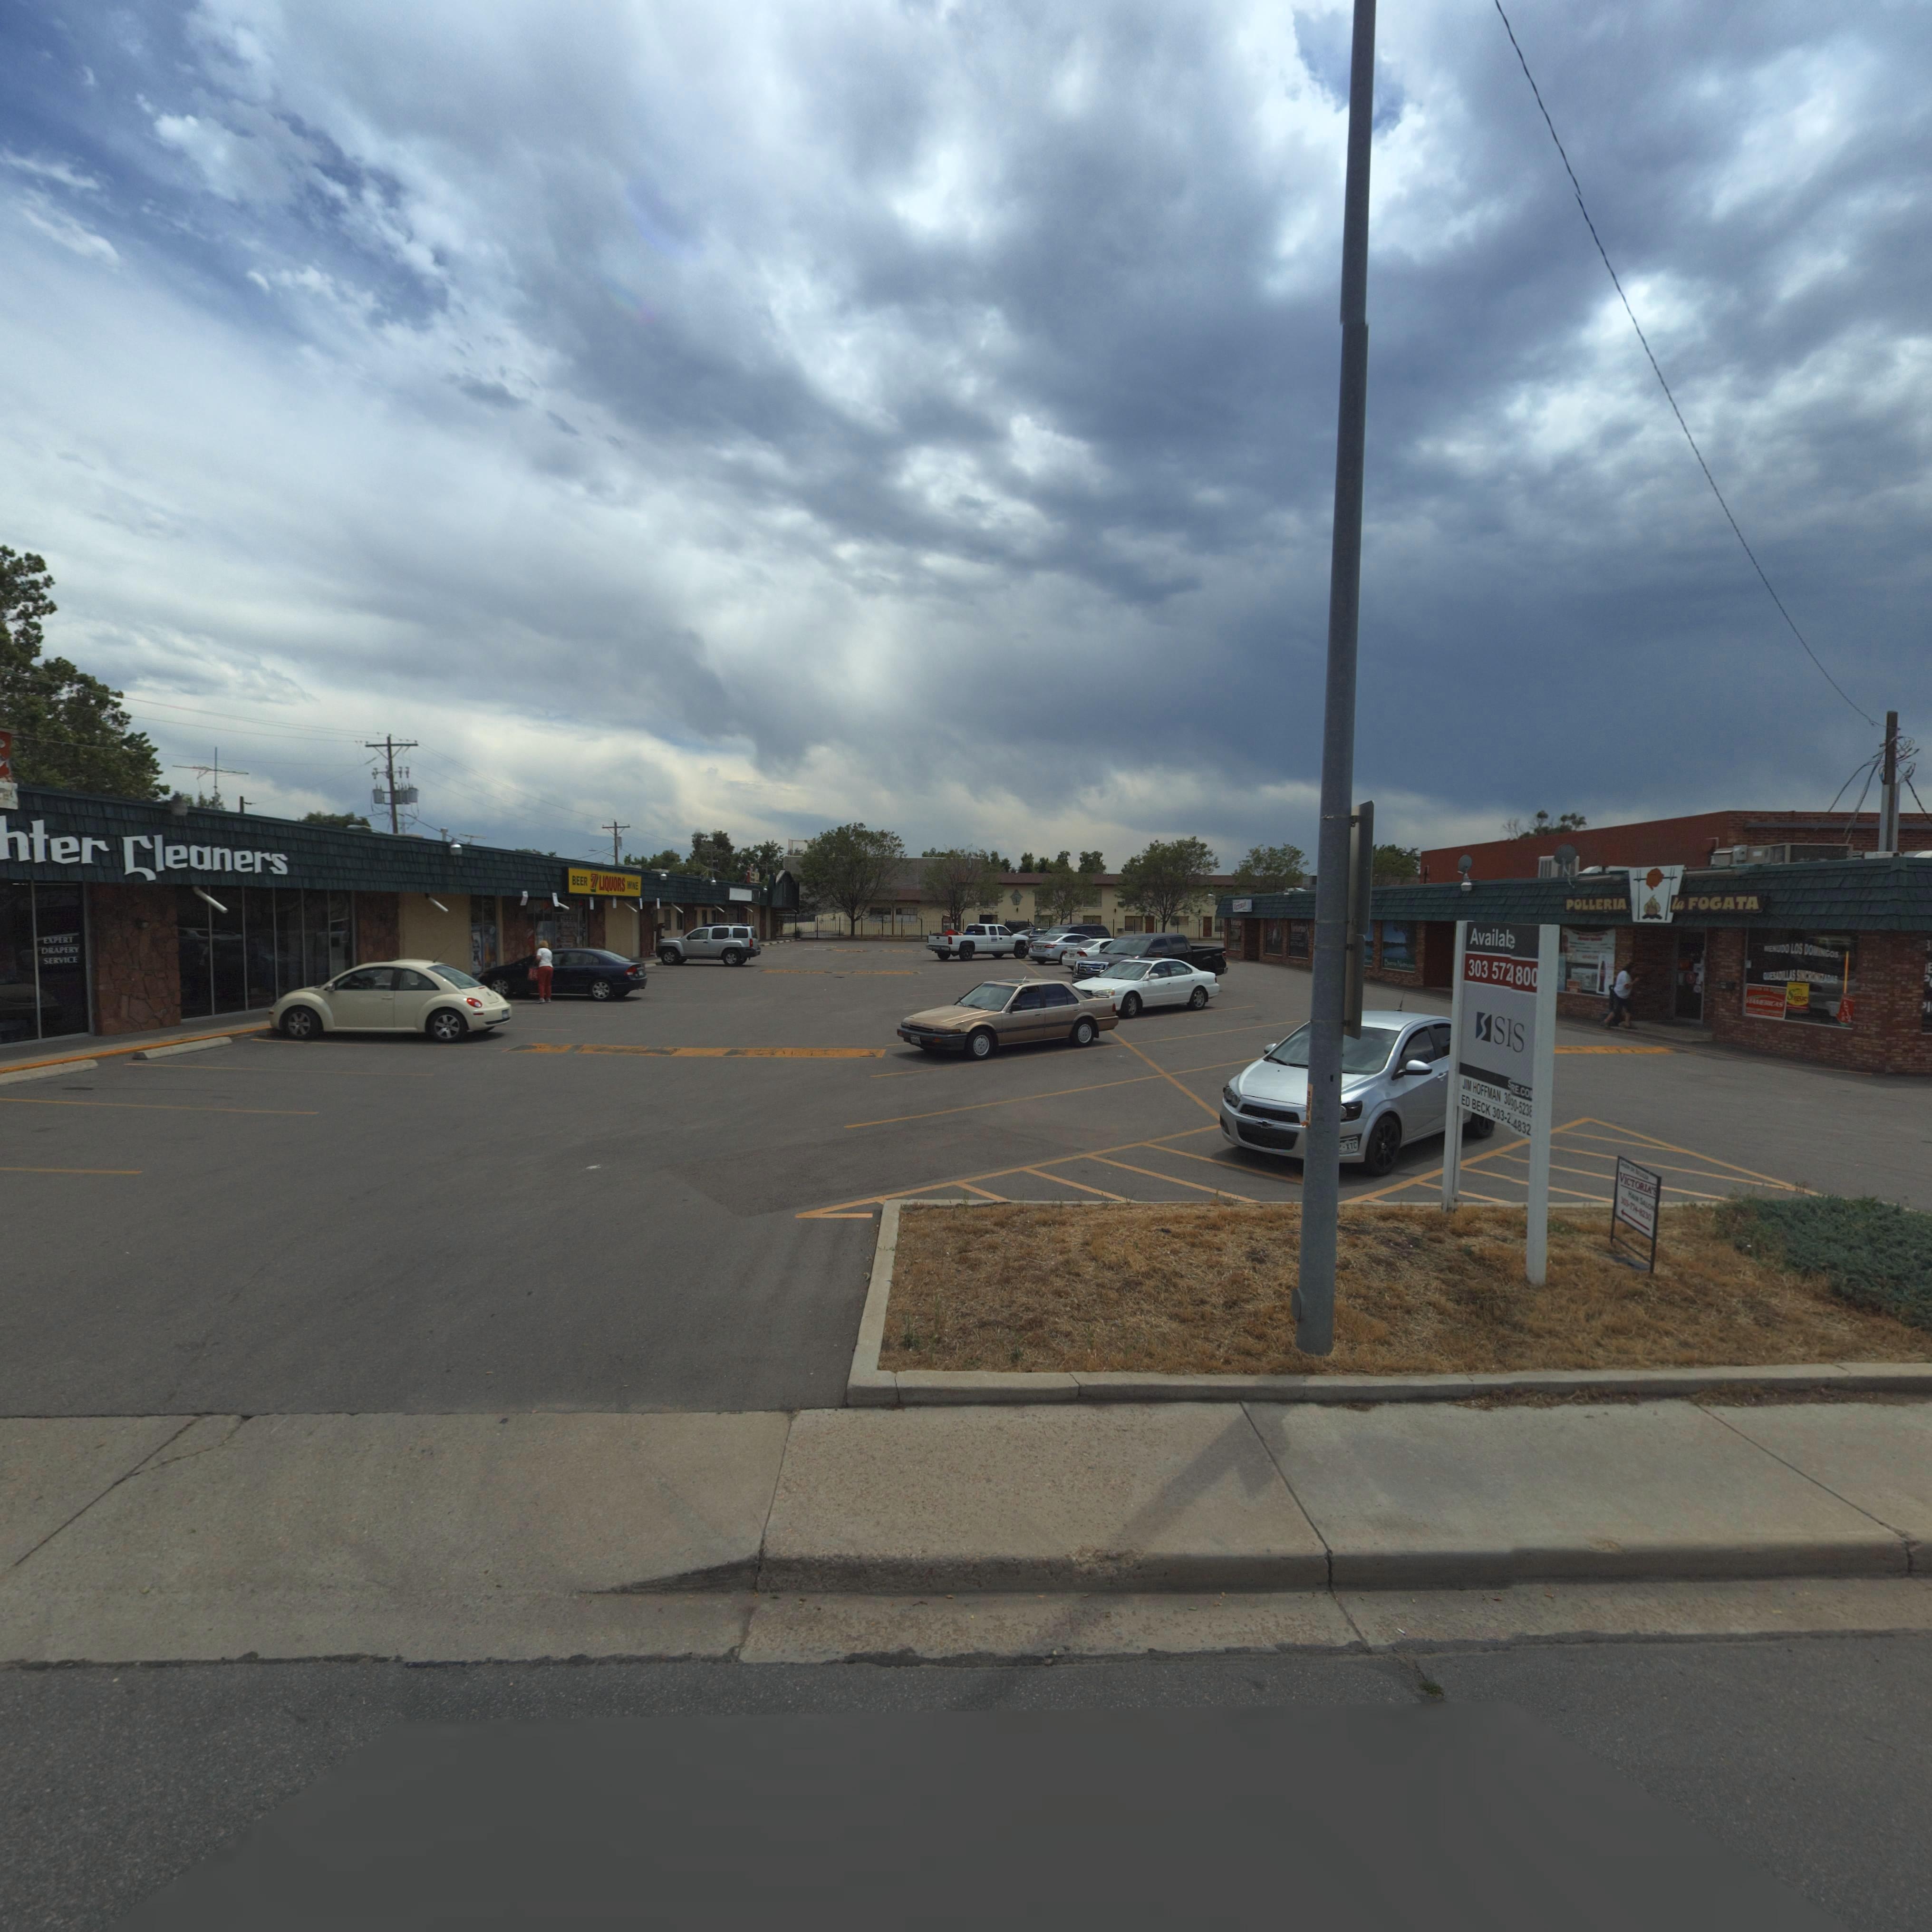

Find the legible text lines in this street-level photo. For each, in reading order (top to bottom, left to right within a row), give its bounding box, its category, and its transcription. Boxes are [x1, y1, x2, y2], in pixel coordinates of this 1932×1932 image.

[28, 818, 290, 882] BusinessName: ter Cleaners
[590, 871, 626, 892] BusinessName: 7 LIQUORS
[1565, 898, 1627, 910] BusinessName: POLLERIA
[1671, 896, 1760, 910] BusinessName: la FOGATA
[560, 916, 574, 923] StreetNumber: 1663
[1619, 1171, 1657, 1197] BusinessName: VICTORIA**
[1638, 1197, 1655, 1213] BusinessName: S**O*